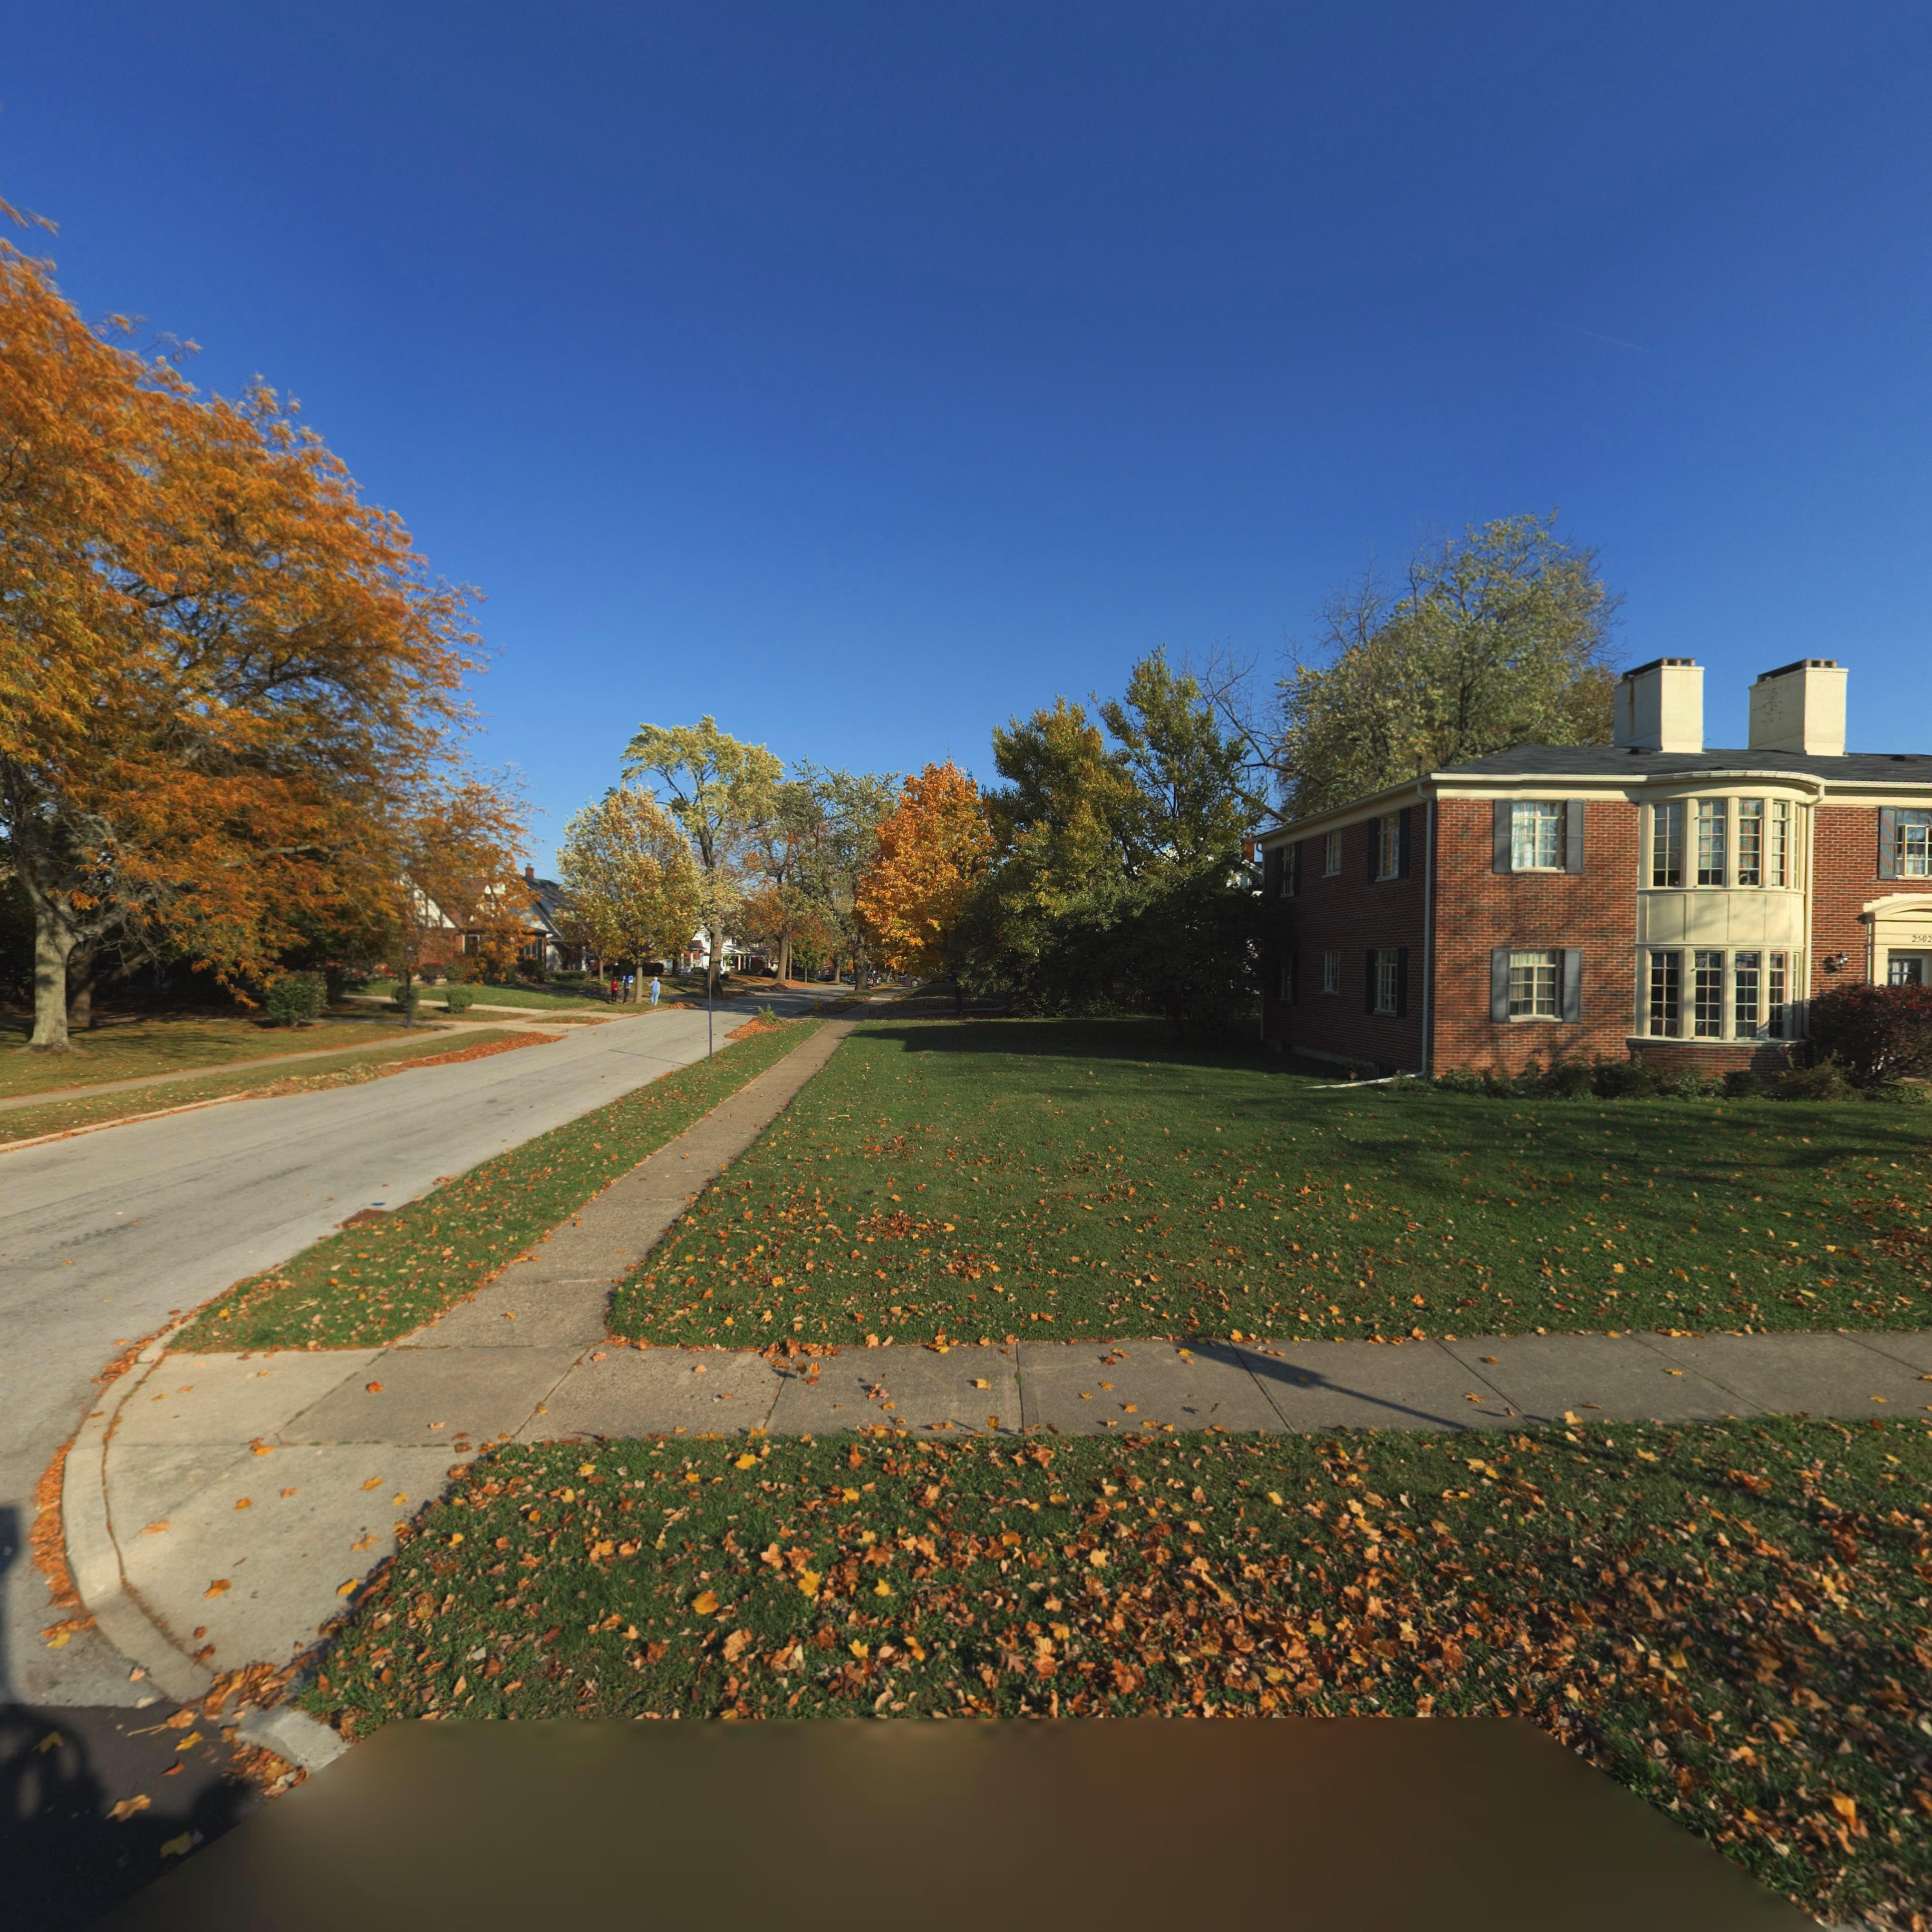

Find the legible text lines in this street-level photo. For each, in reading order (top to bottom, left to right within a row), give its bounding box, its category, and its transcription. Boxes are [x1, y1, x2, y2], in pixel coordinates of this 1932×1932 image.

[1910, 933, 1929, 944] StreetNumber: 2*0